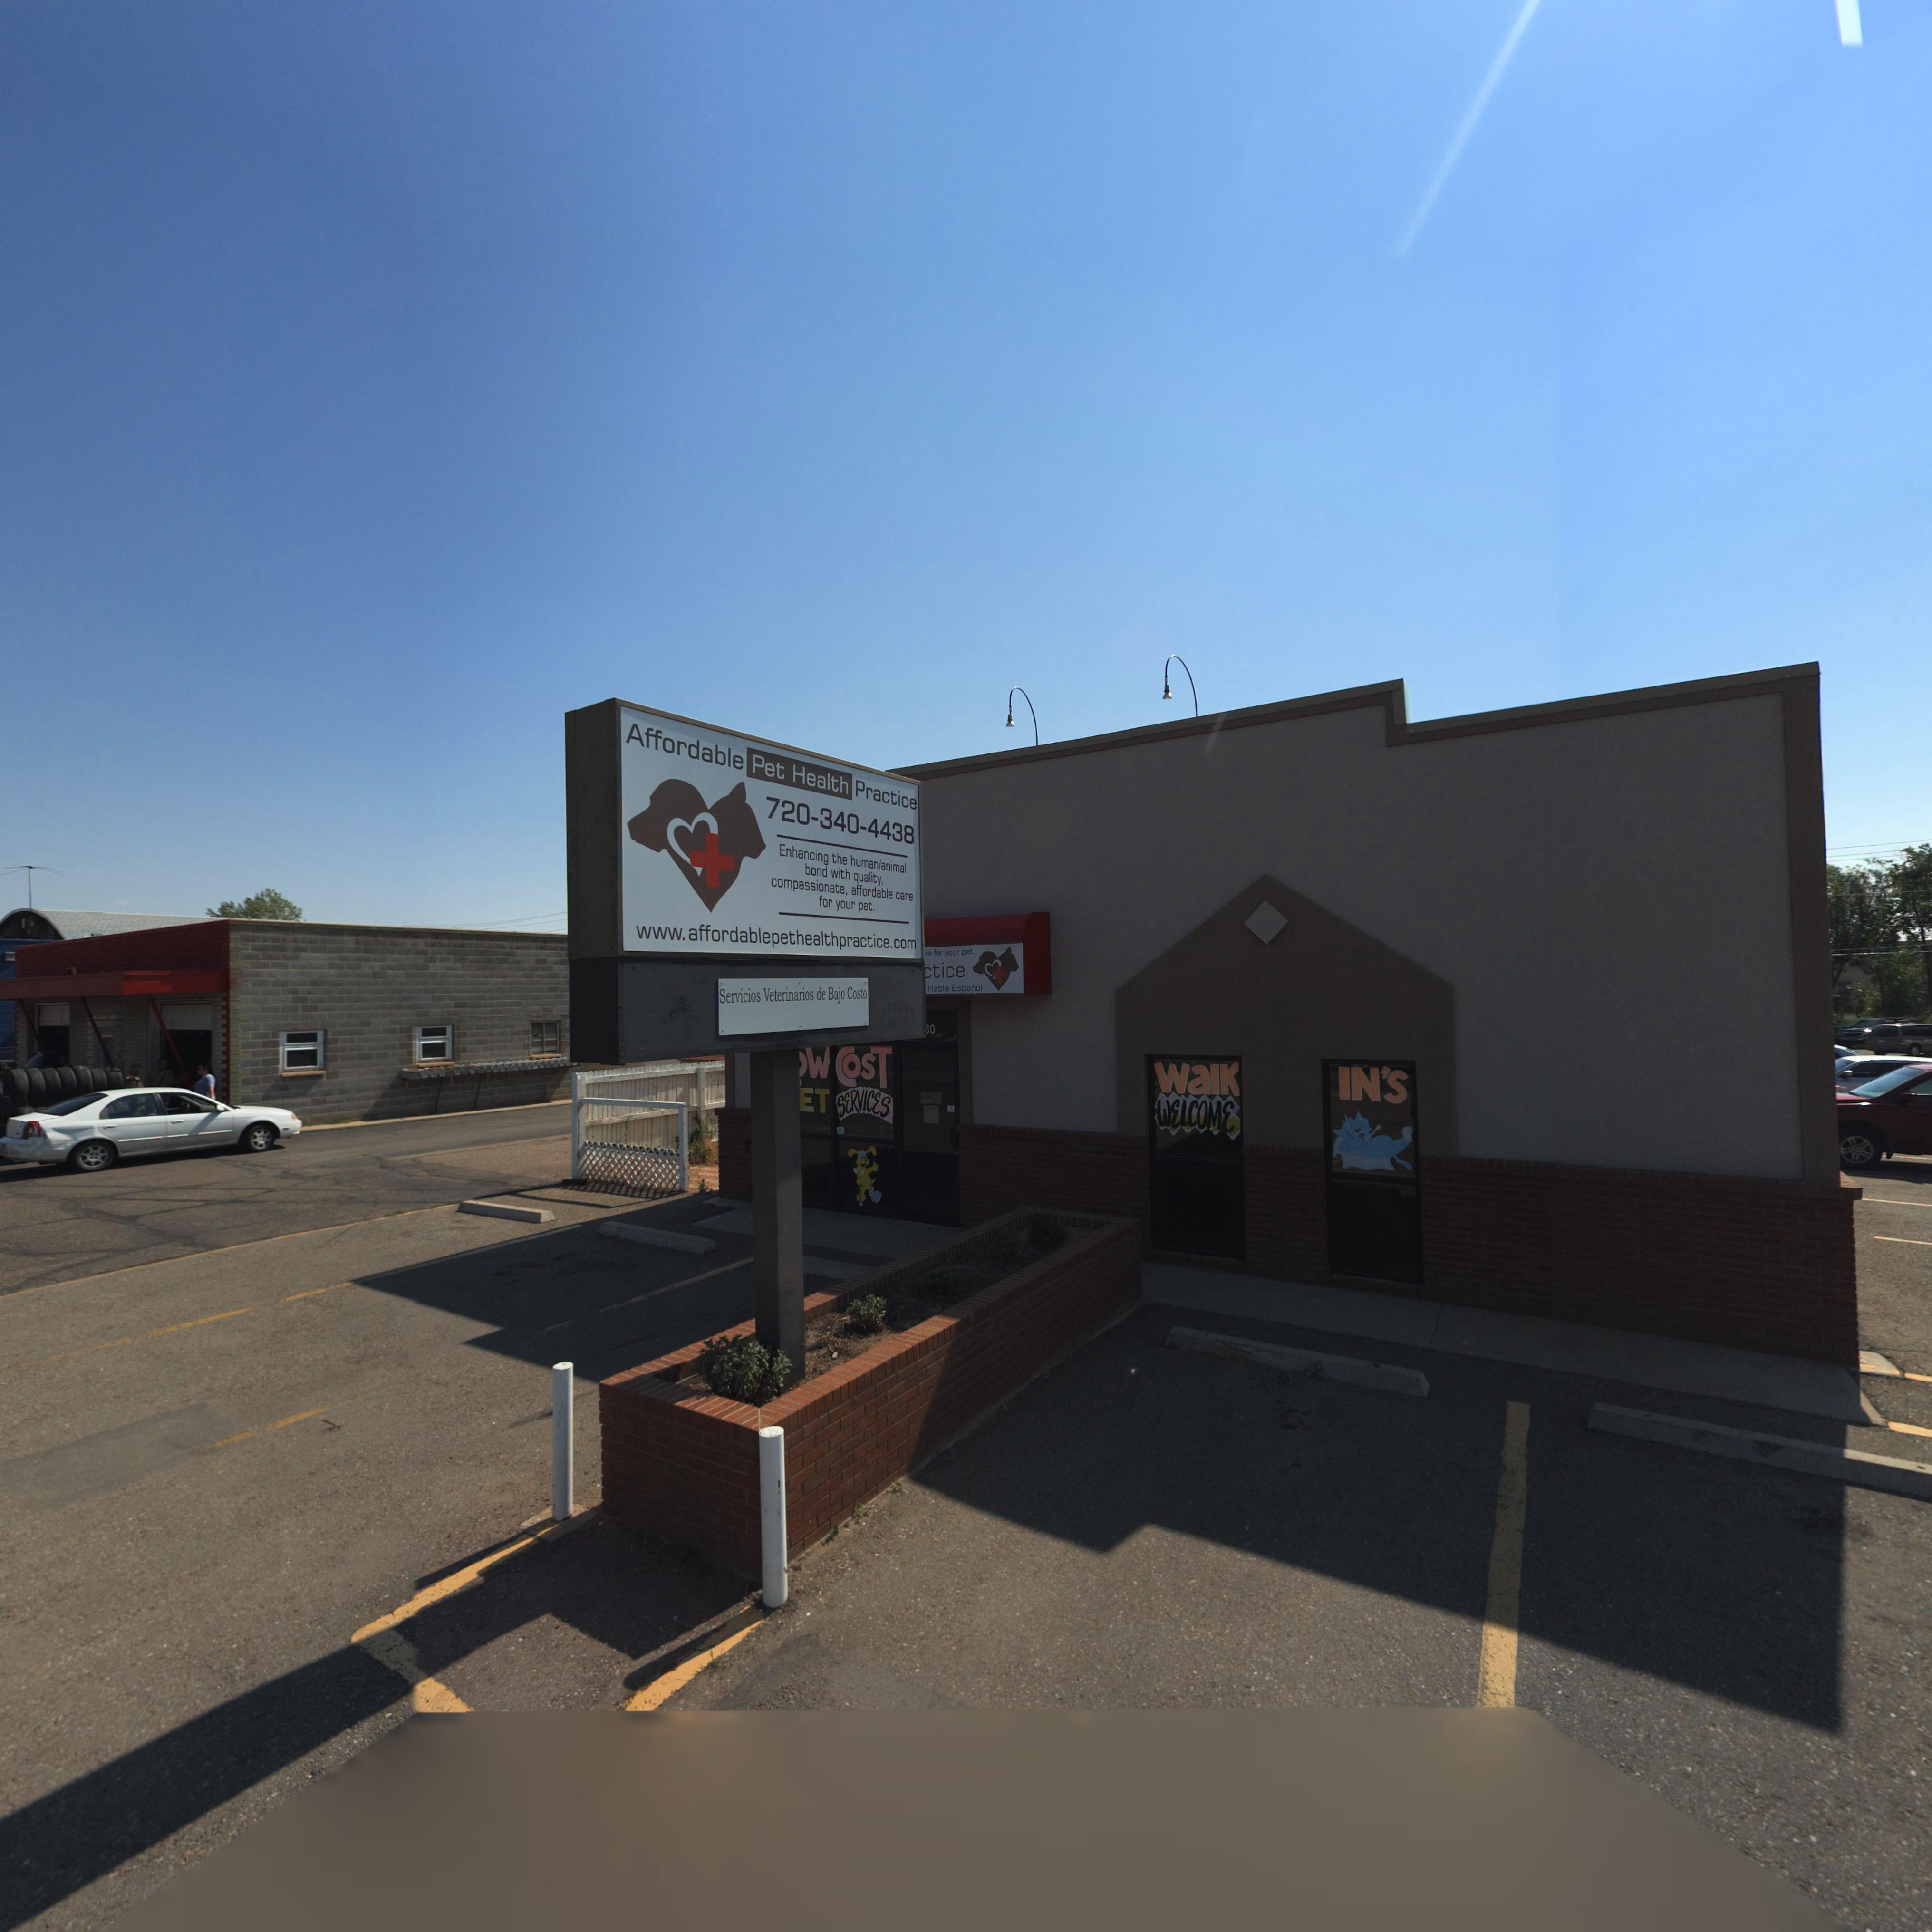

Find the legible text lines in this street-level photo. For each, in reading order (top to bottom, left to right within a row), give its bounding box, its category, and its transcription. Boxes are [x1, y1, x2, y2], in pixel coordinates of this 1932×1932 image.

[624, 722, 918, 811] BusinessName: Affordable Pet Health Practice